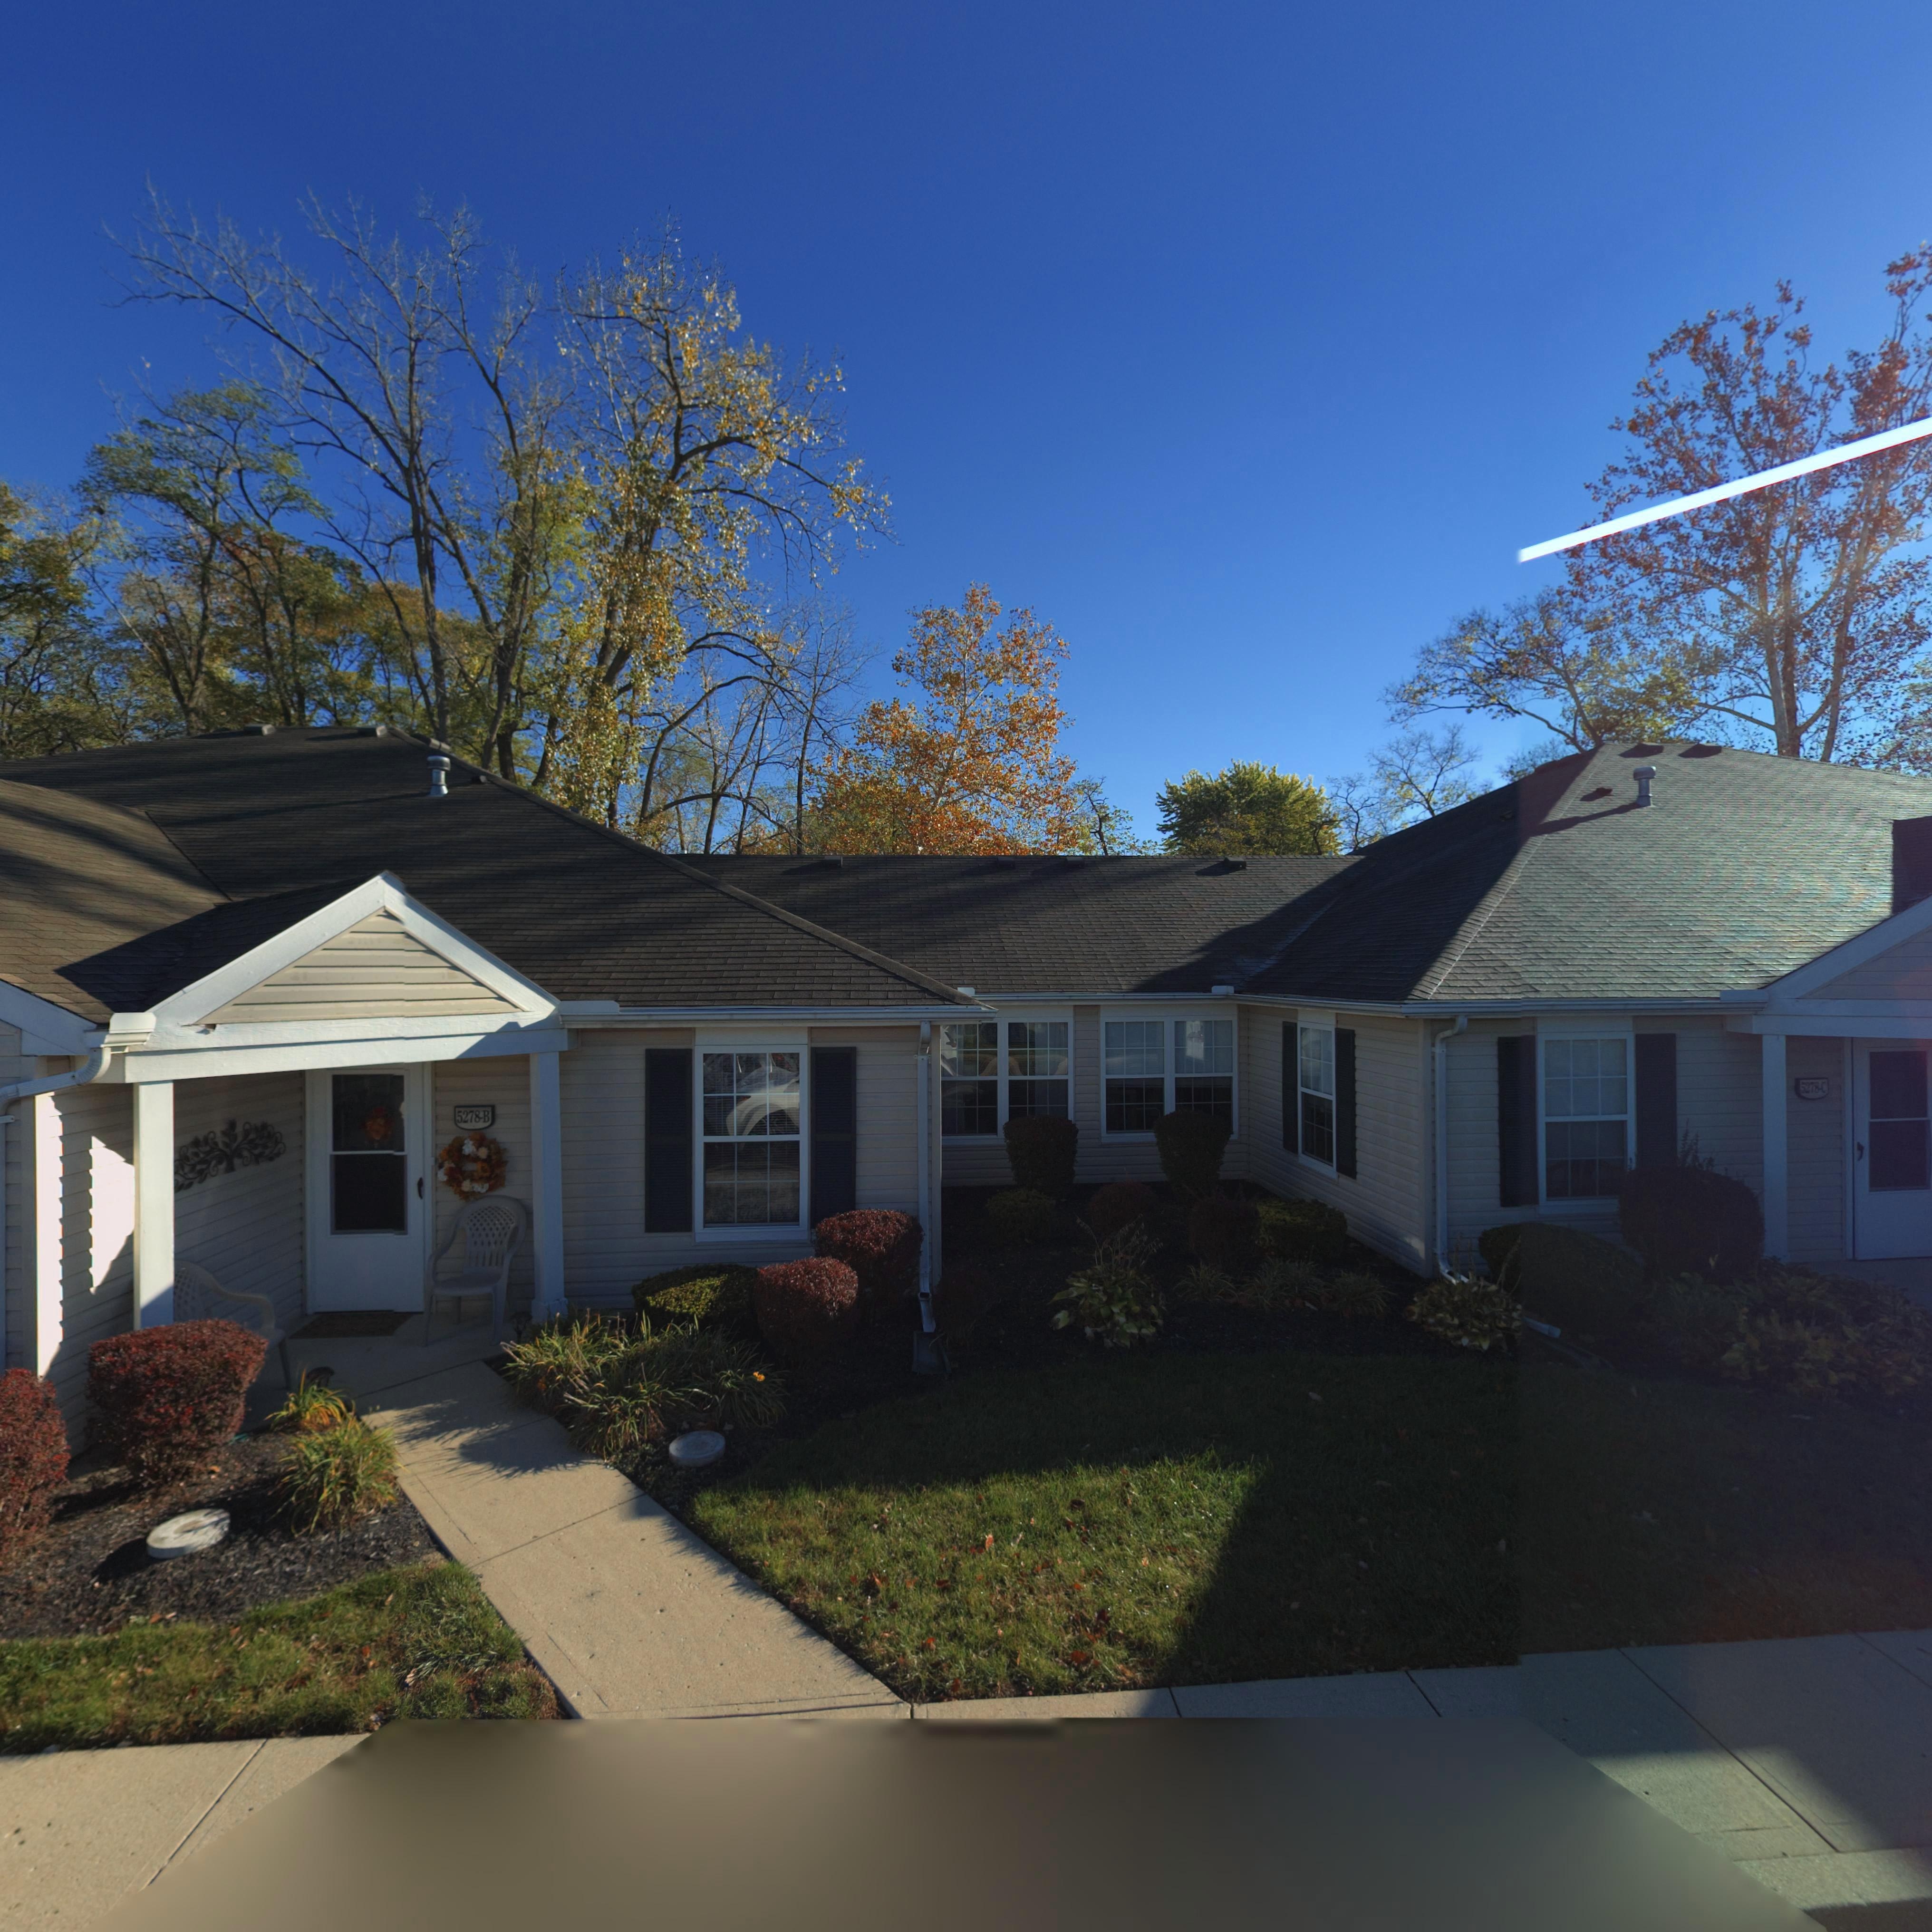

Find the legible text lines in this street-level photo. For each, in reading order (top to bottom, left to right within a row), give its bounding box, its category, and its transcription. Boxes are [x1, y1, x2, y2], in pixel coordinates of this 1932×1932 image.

[1800, 1081, 1827, 1094] StreetNumber: 5278-C
[456, 1109, 491, 1125] StreetNumber: 5278-B